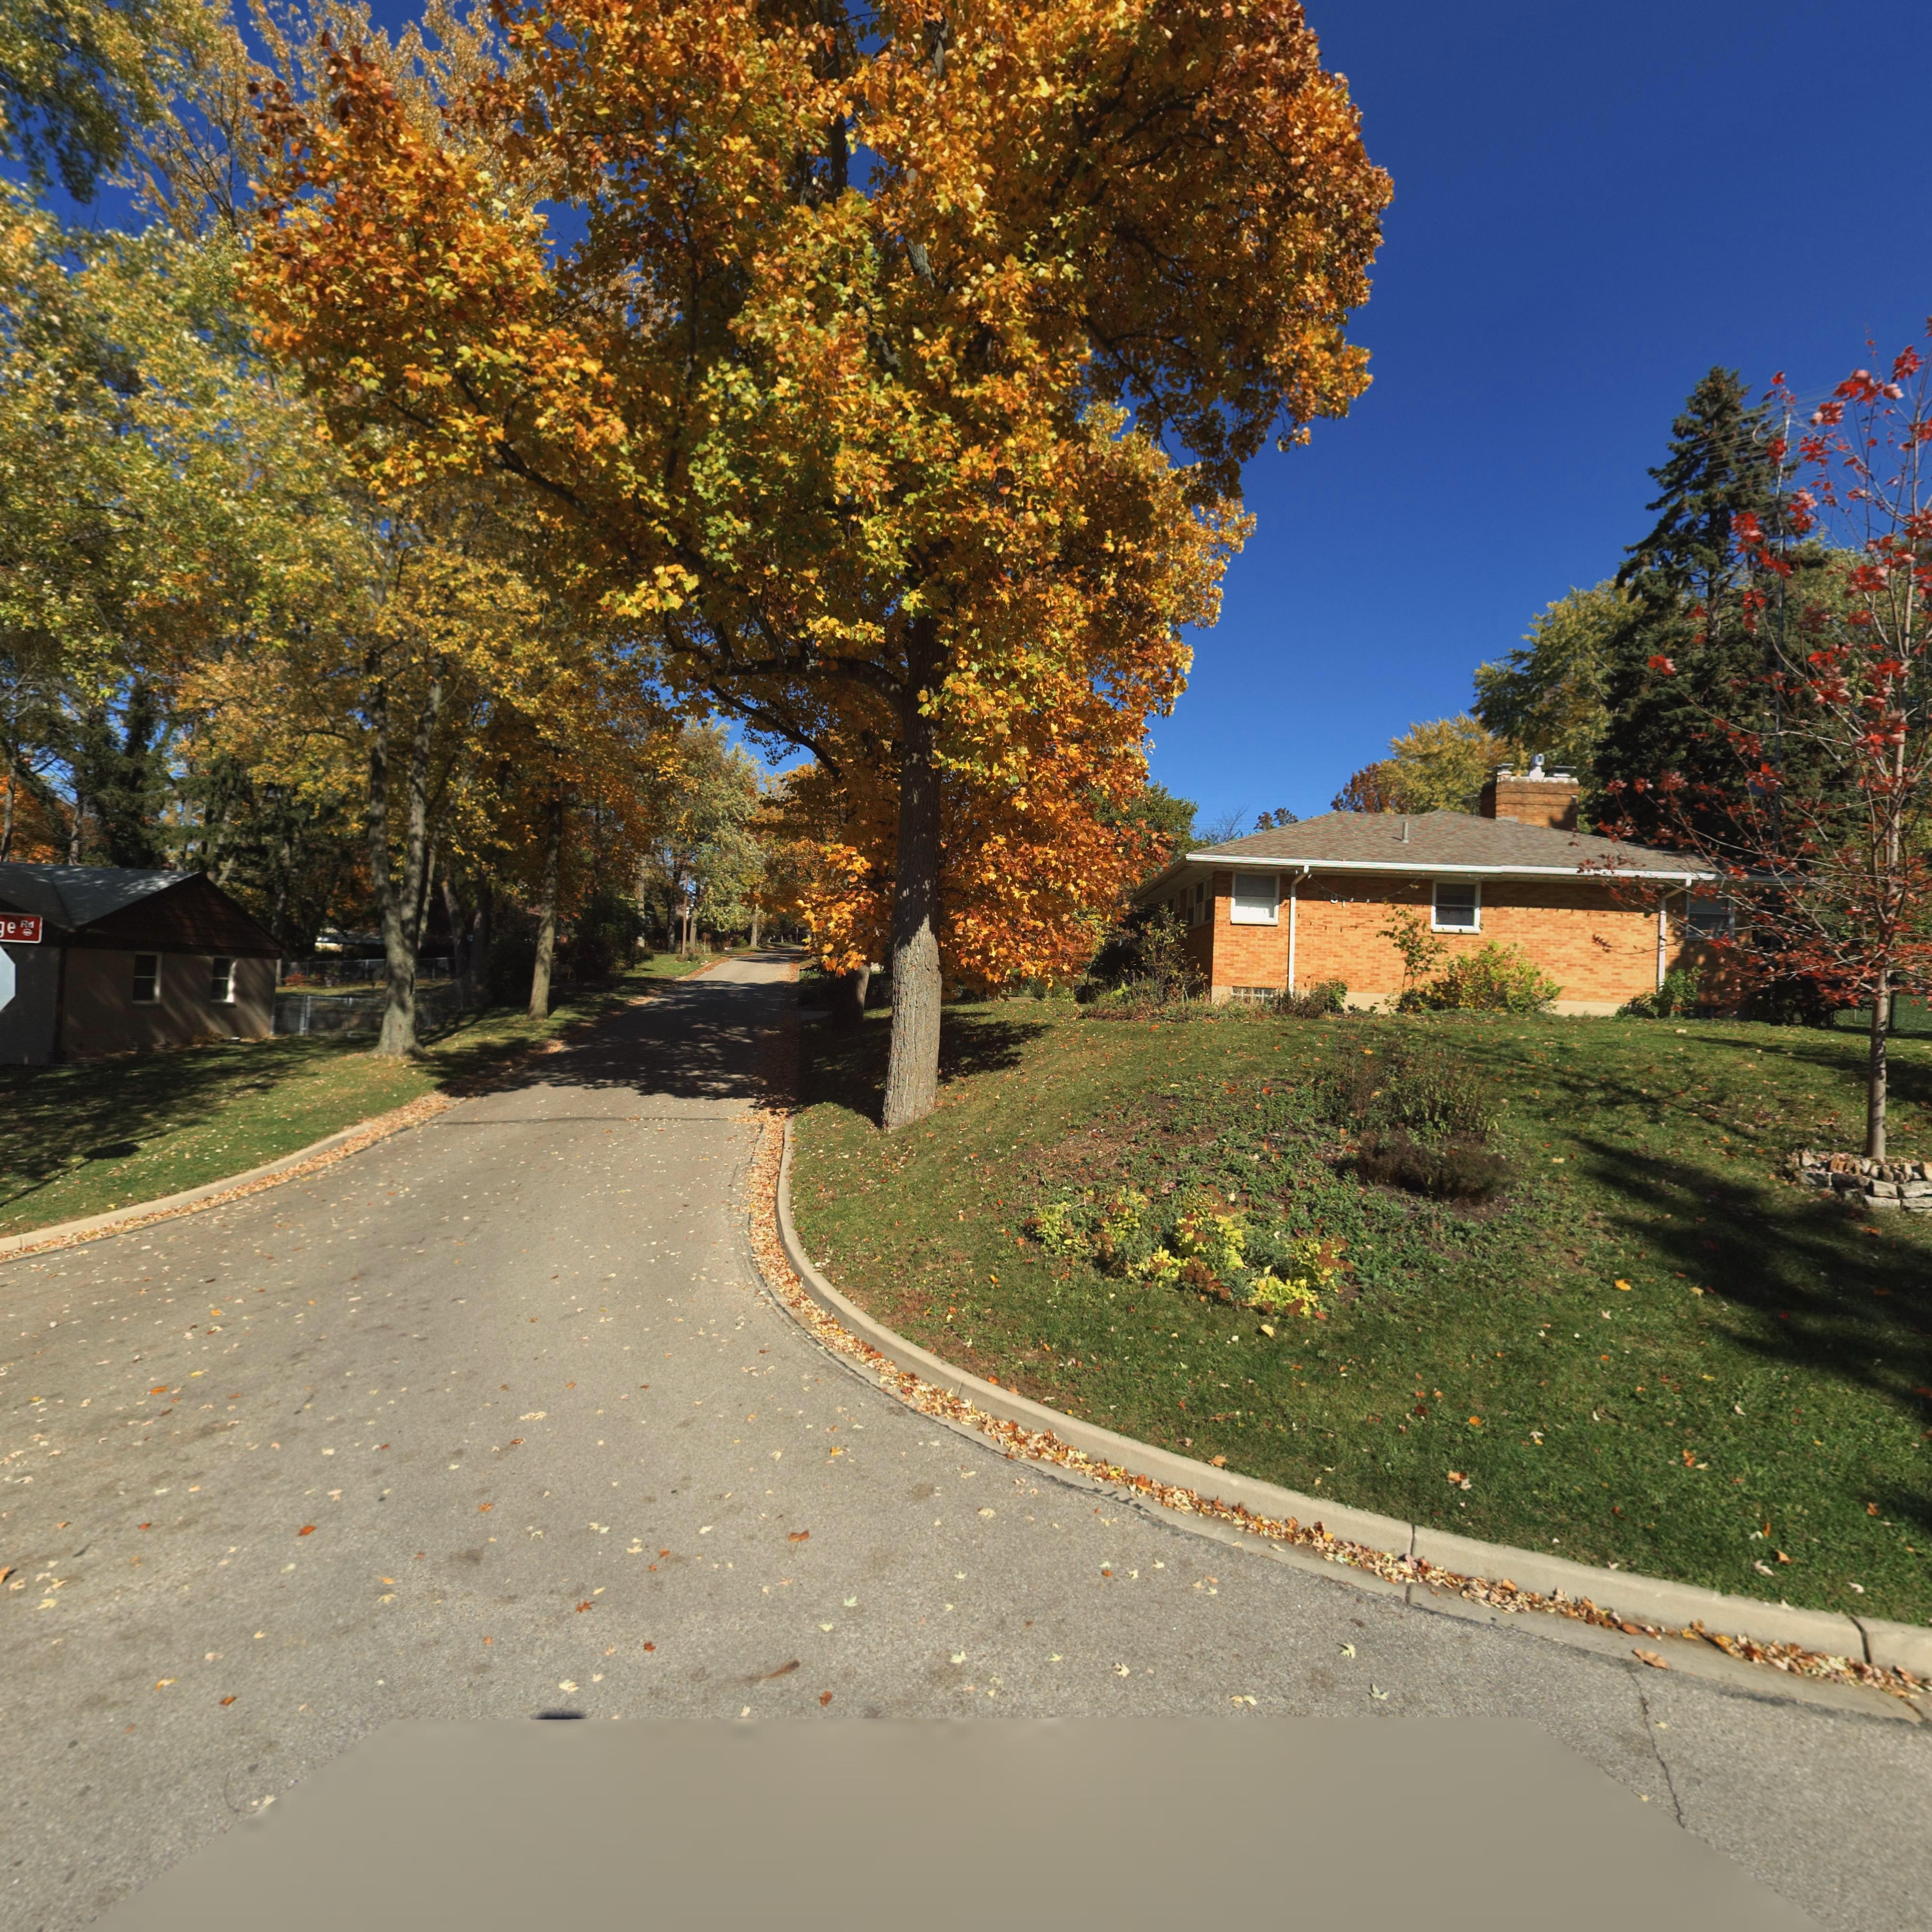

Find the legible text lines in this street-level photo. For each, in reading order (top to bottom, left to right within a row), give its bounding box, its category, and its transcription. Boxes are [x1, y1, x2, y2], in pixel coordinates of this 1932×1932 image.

[1322, 889, 1347, 909] StreetNumber: 16*